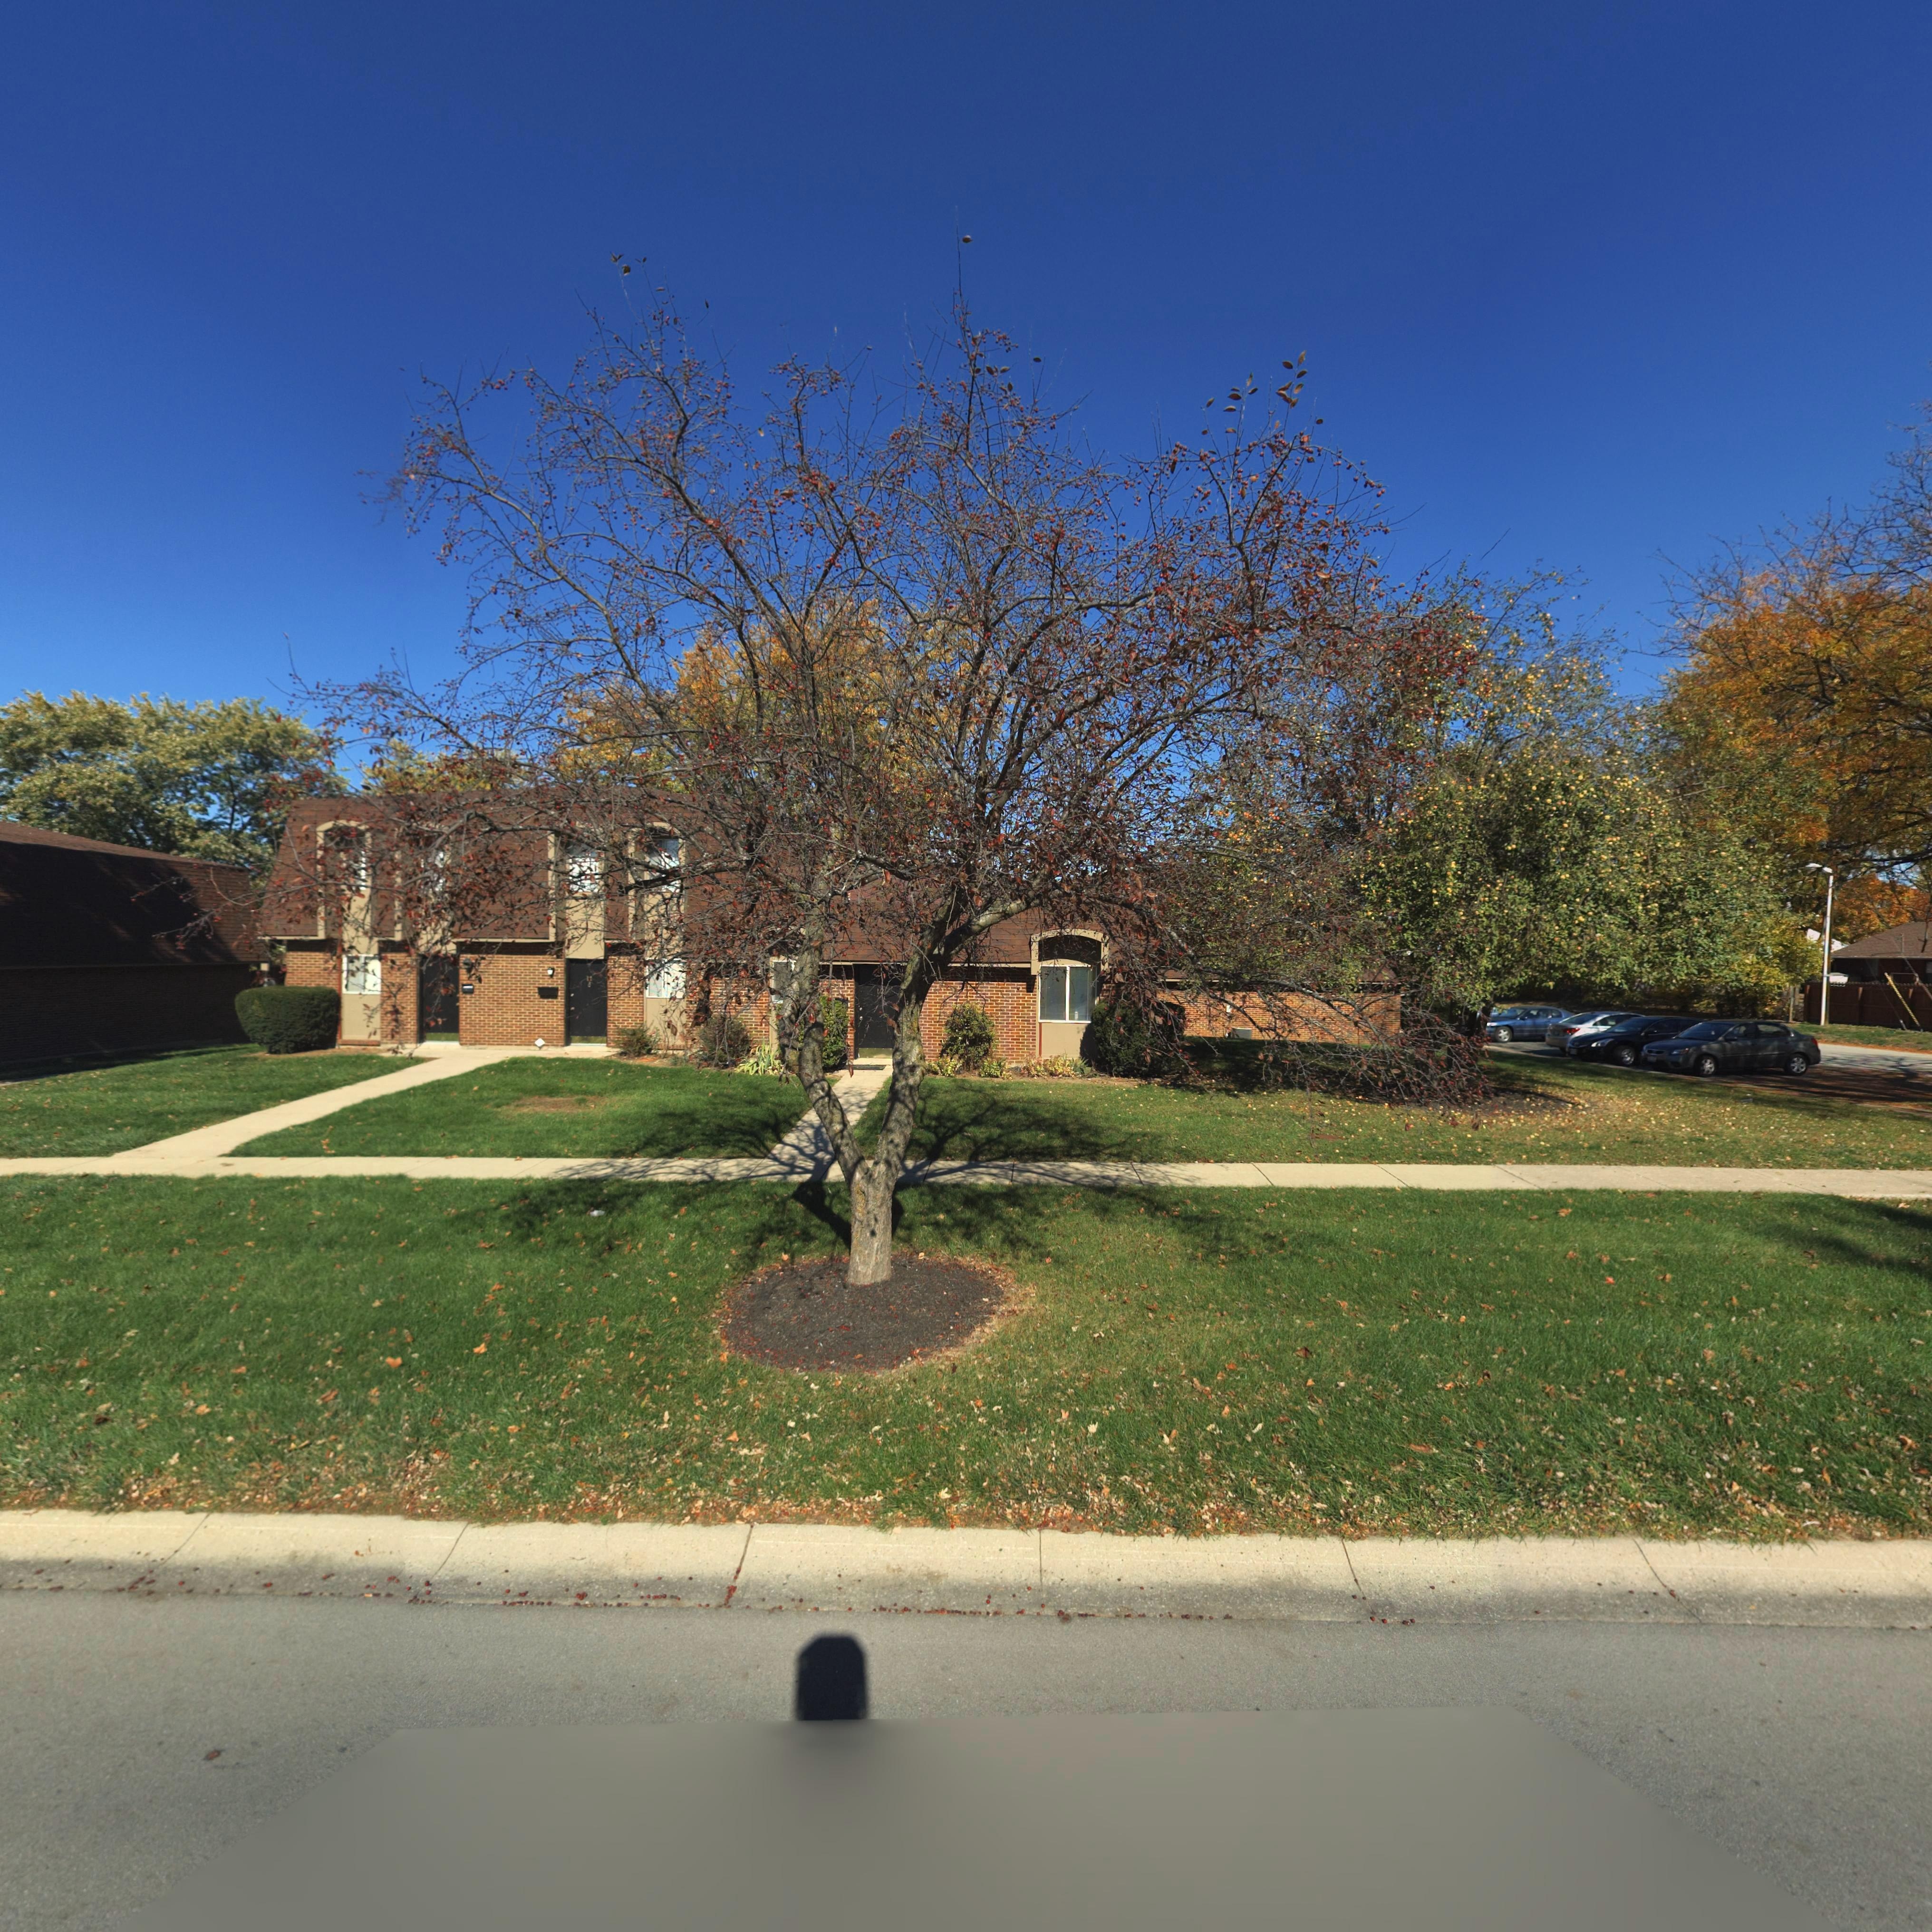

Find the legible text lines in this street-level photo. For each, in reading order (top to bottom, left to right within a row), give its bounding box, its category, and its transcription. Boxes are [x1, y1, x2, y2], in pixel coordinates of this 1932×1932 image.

[586, 975, 593, 982] StreetNumber: 11
[877, 988, 884, 995] StreetNumber: 12